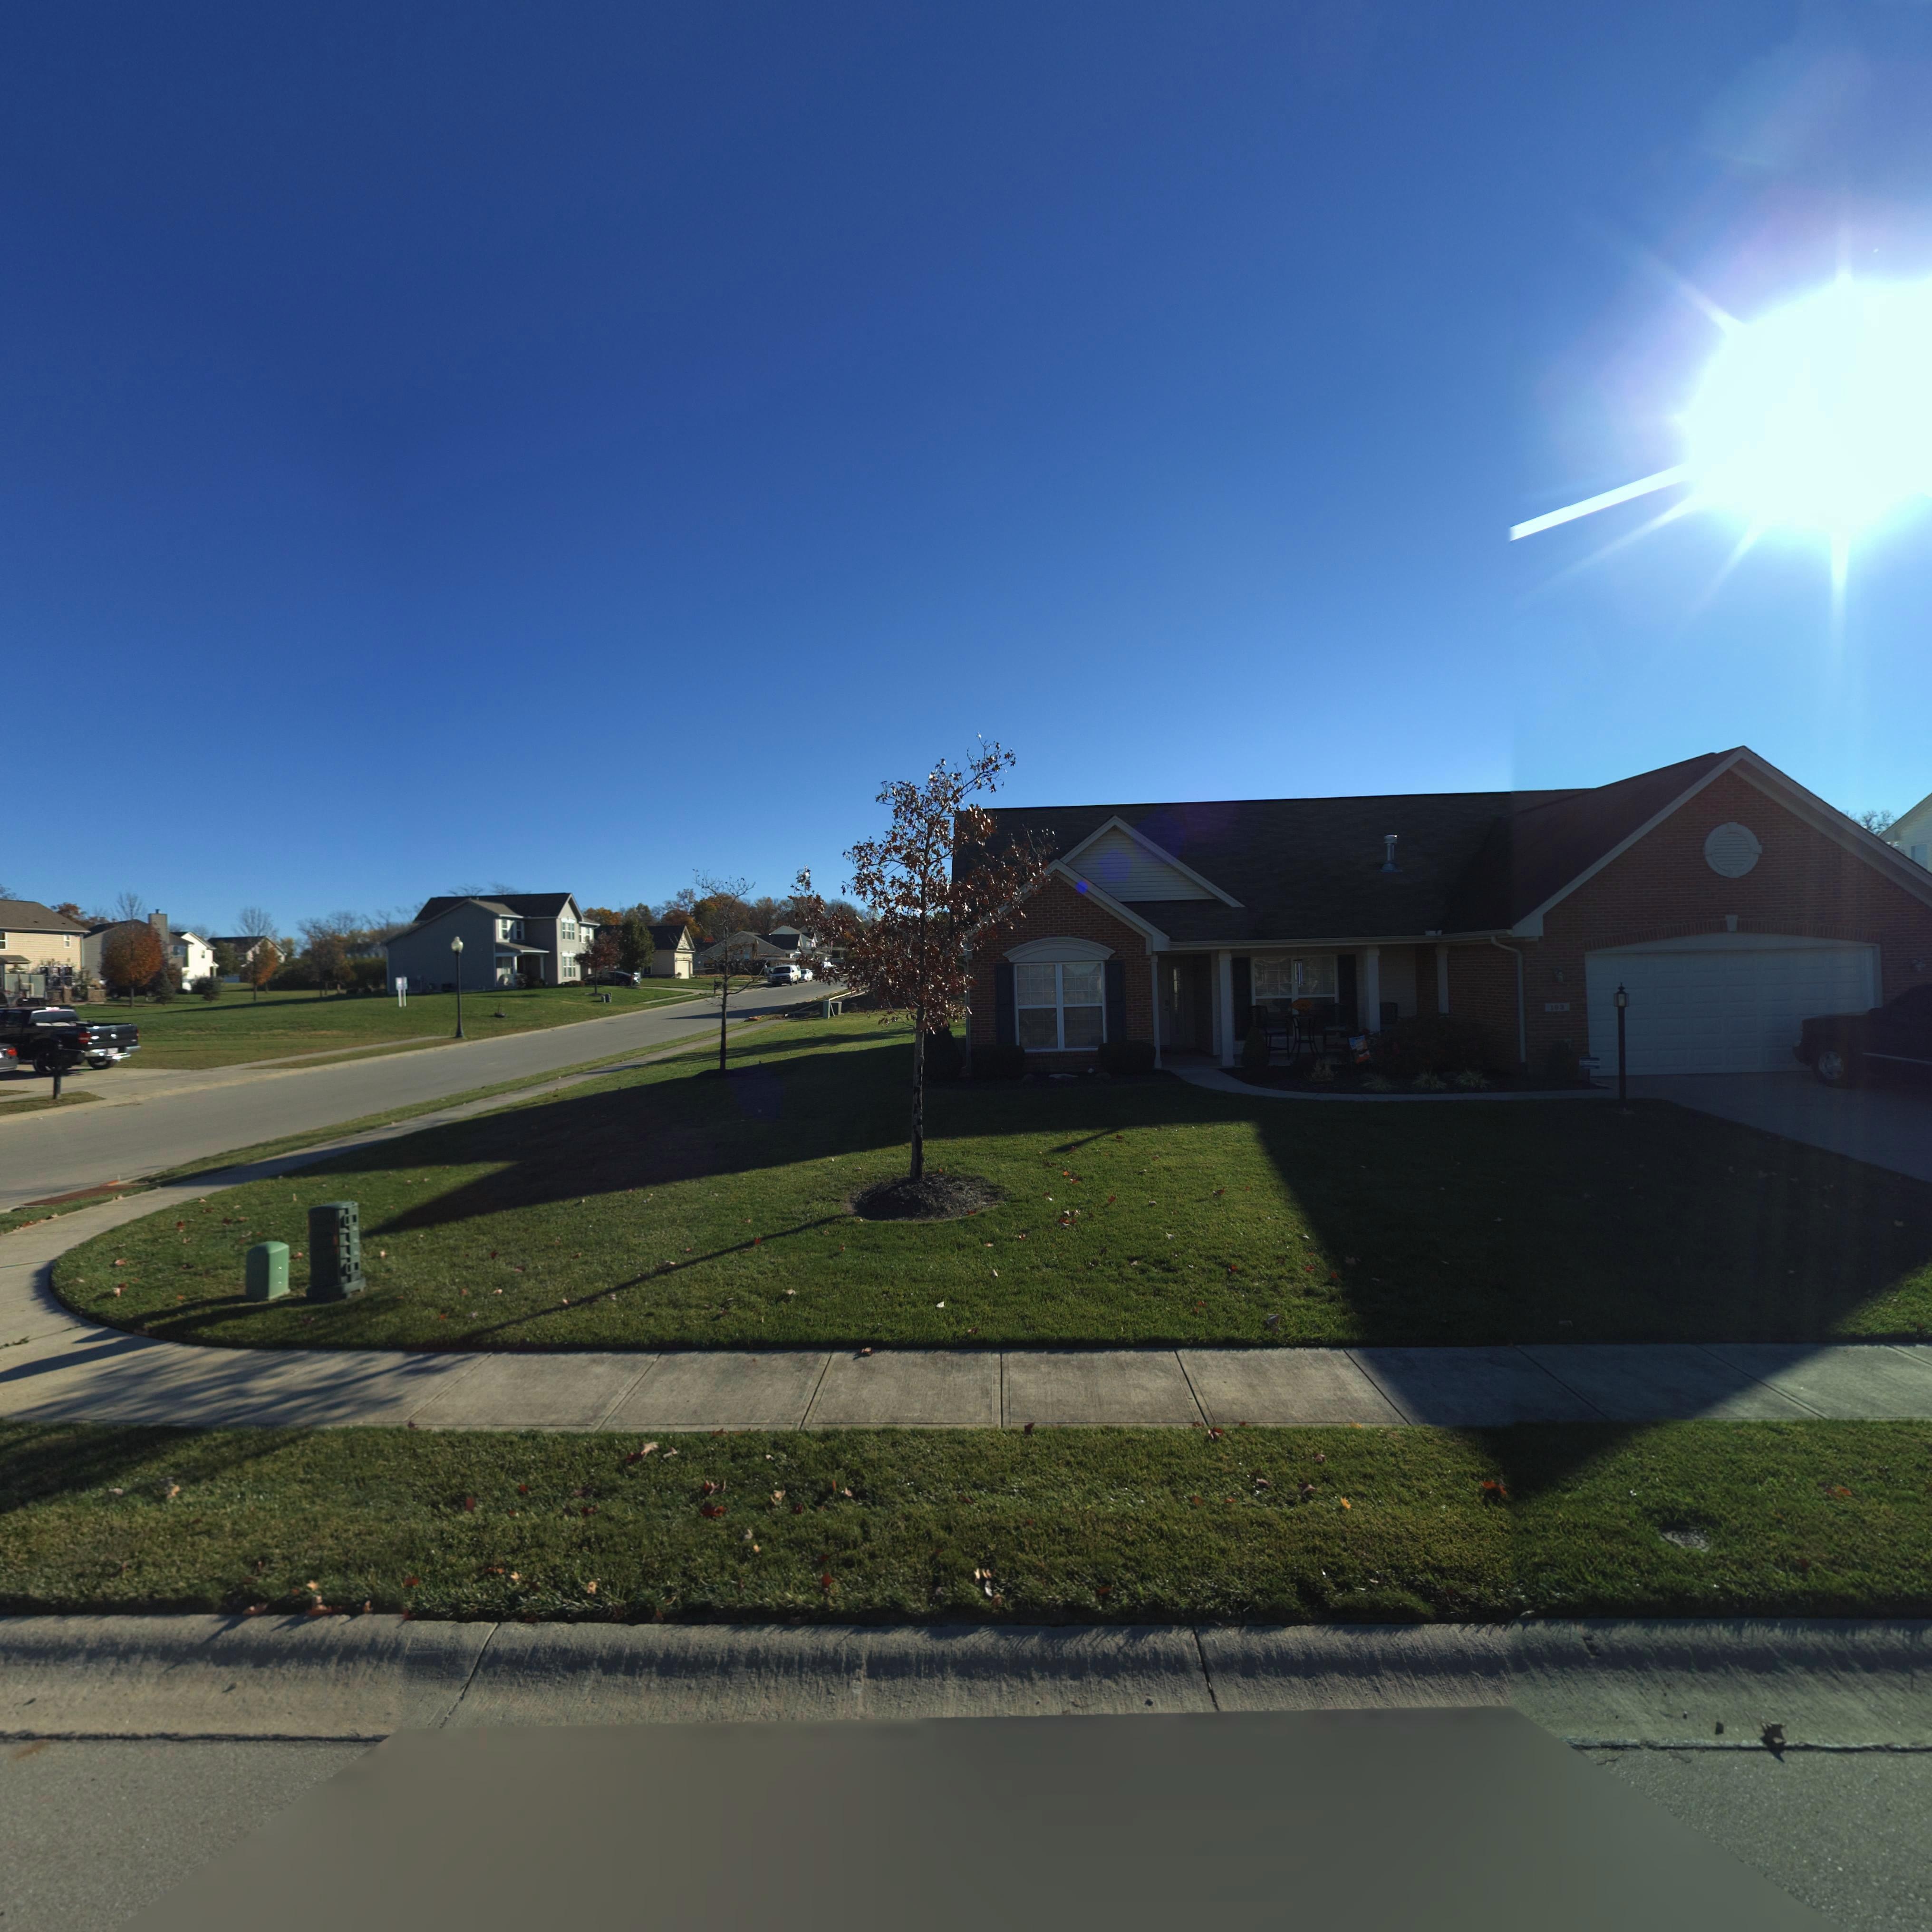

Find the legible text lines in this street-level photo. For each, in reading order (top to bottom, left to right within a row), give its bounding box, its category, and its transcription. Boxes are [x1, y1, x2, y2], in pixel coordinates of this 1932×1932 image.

[1550, 1004, 1565, 1011] StreetNumber: 193